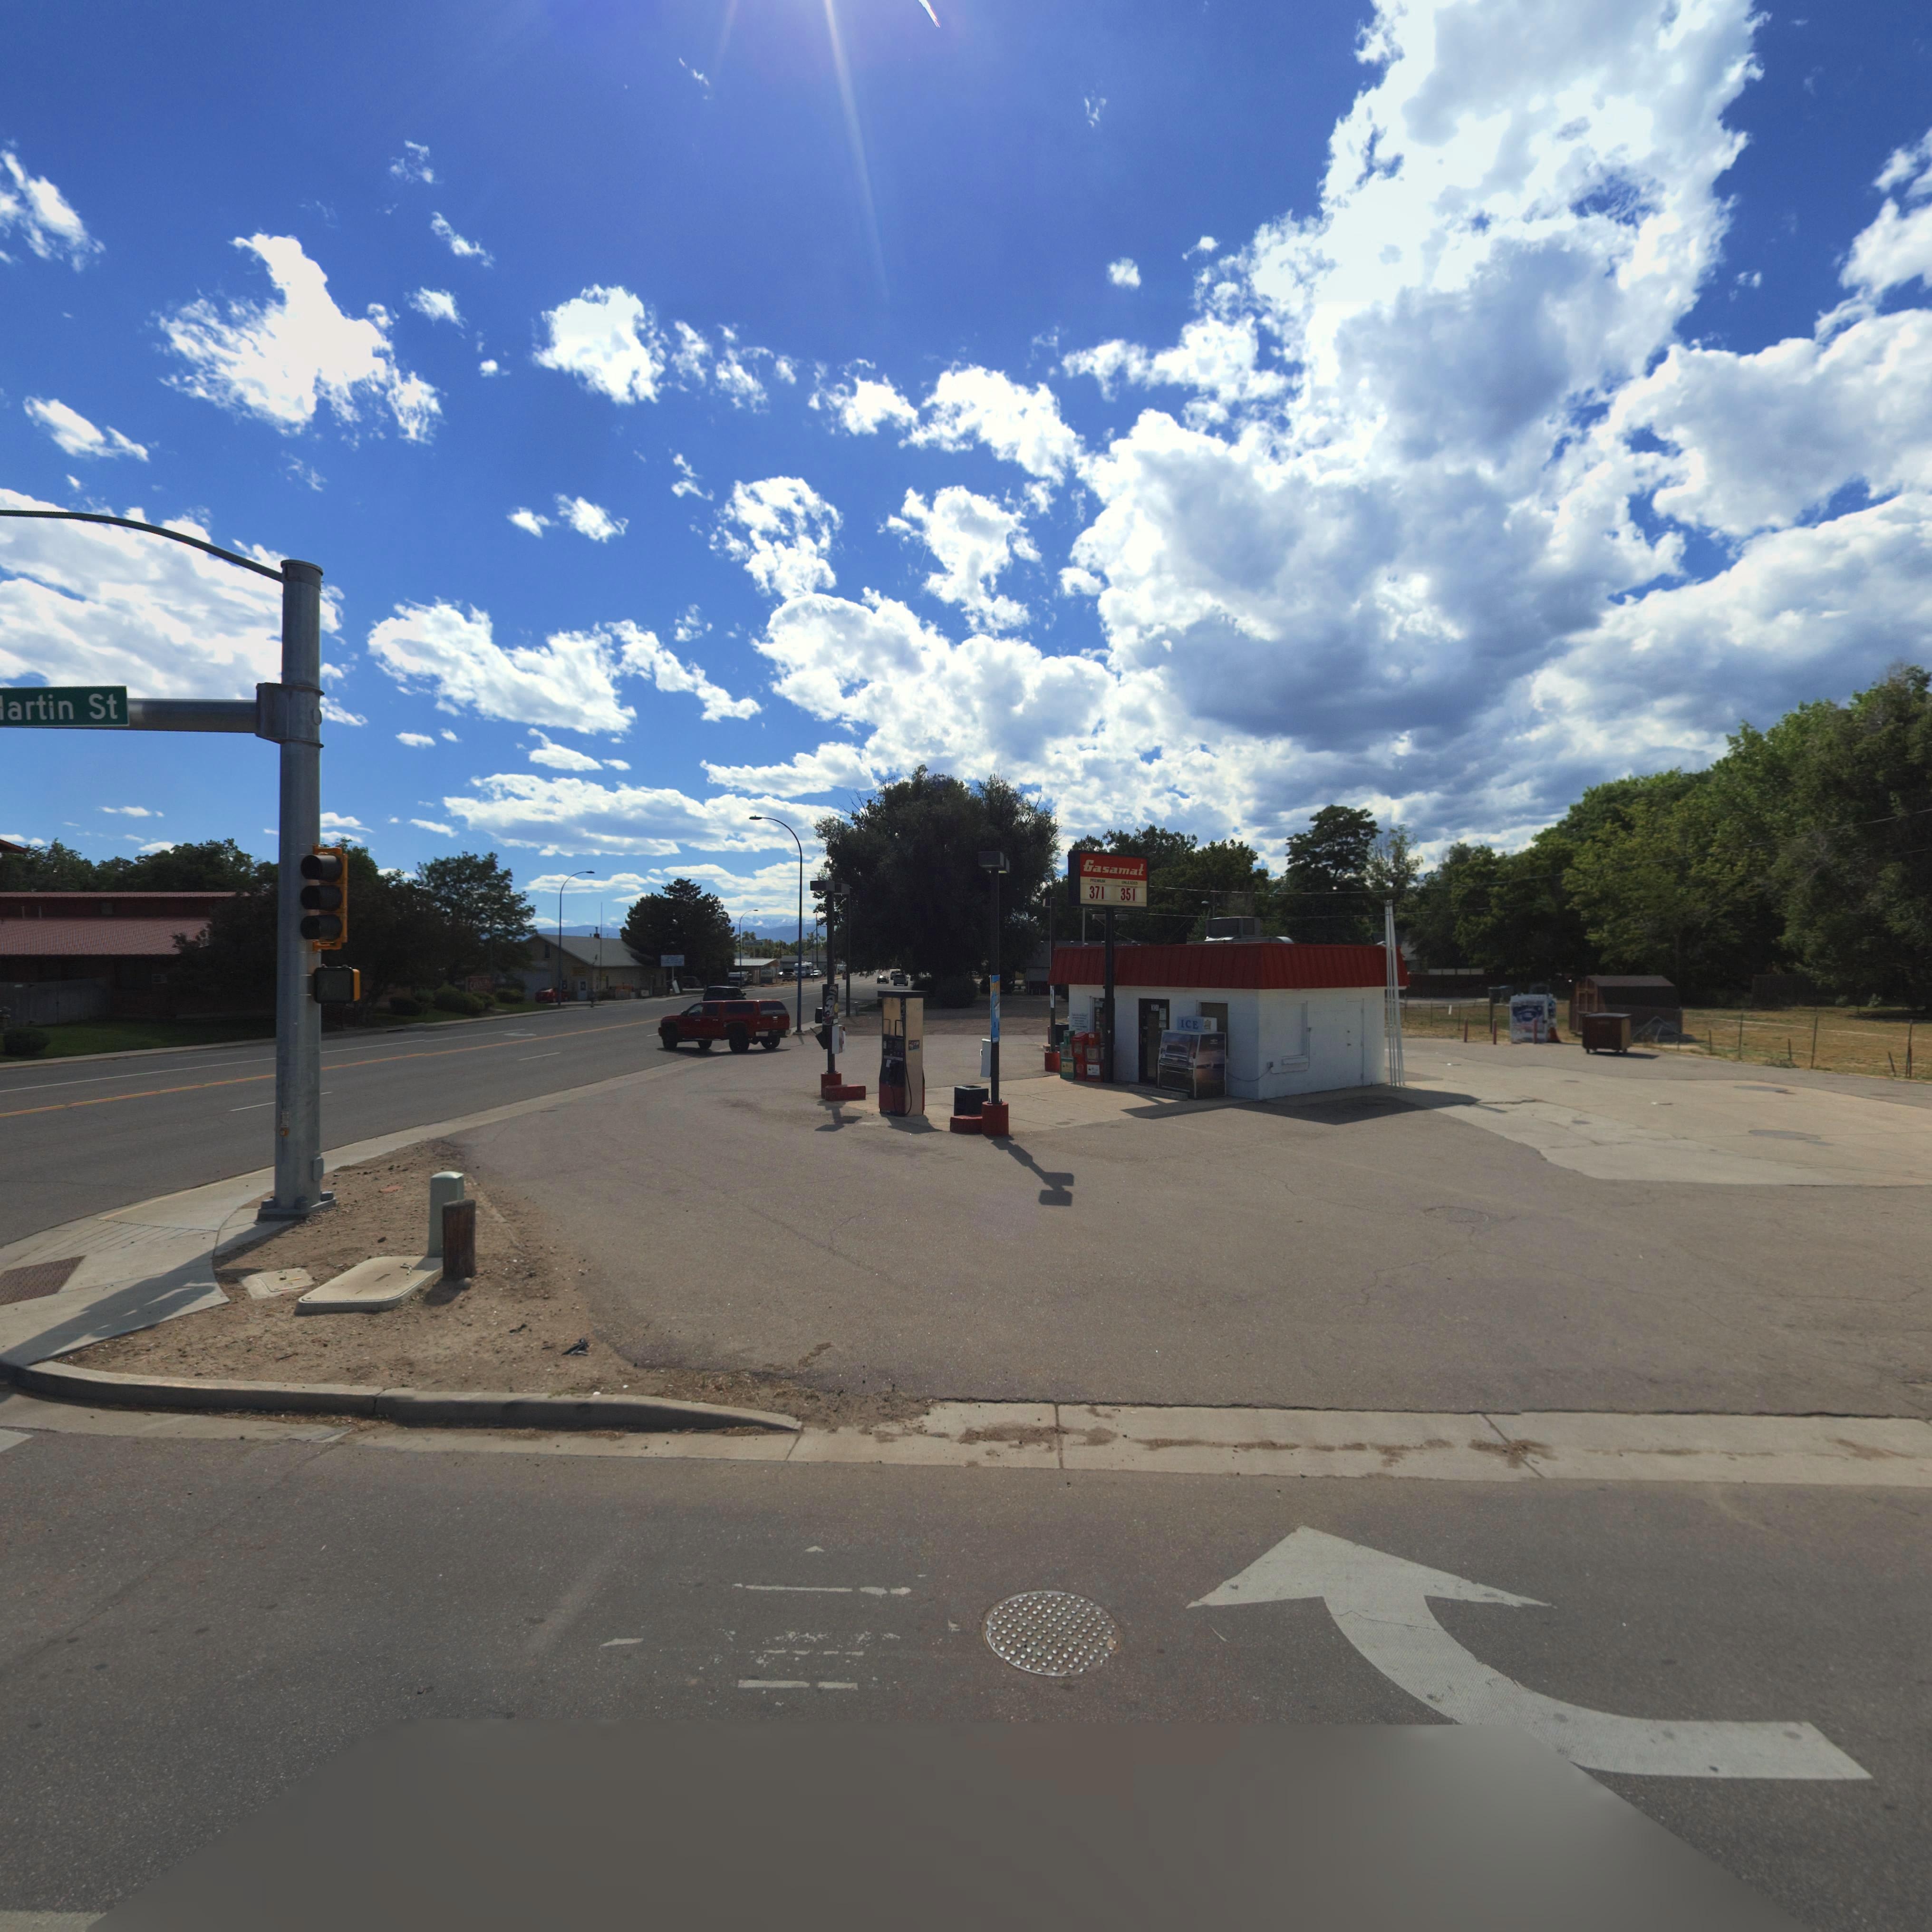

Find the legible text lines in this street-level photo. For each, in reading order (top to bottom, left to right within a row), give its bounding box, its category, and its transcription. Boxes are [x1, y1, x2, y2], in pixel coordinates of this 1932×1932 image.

[7, 693, 118, 722] StreetName: artin St
[1082, 859, 1144, 875] BusinessName: Gasamat
[1151, 1004, 1159, 1011] StreetNumber: 301